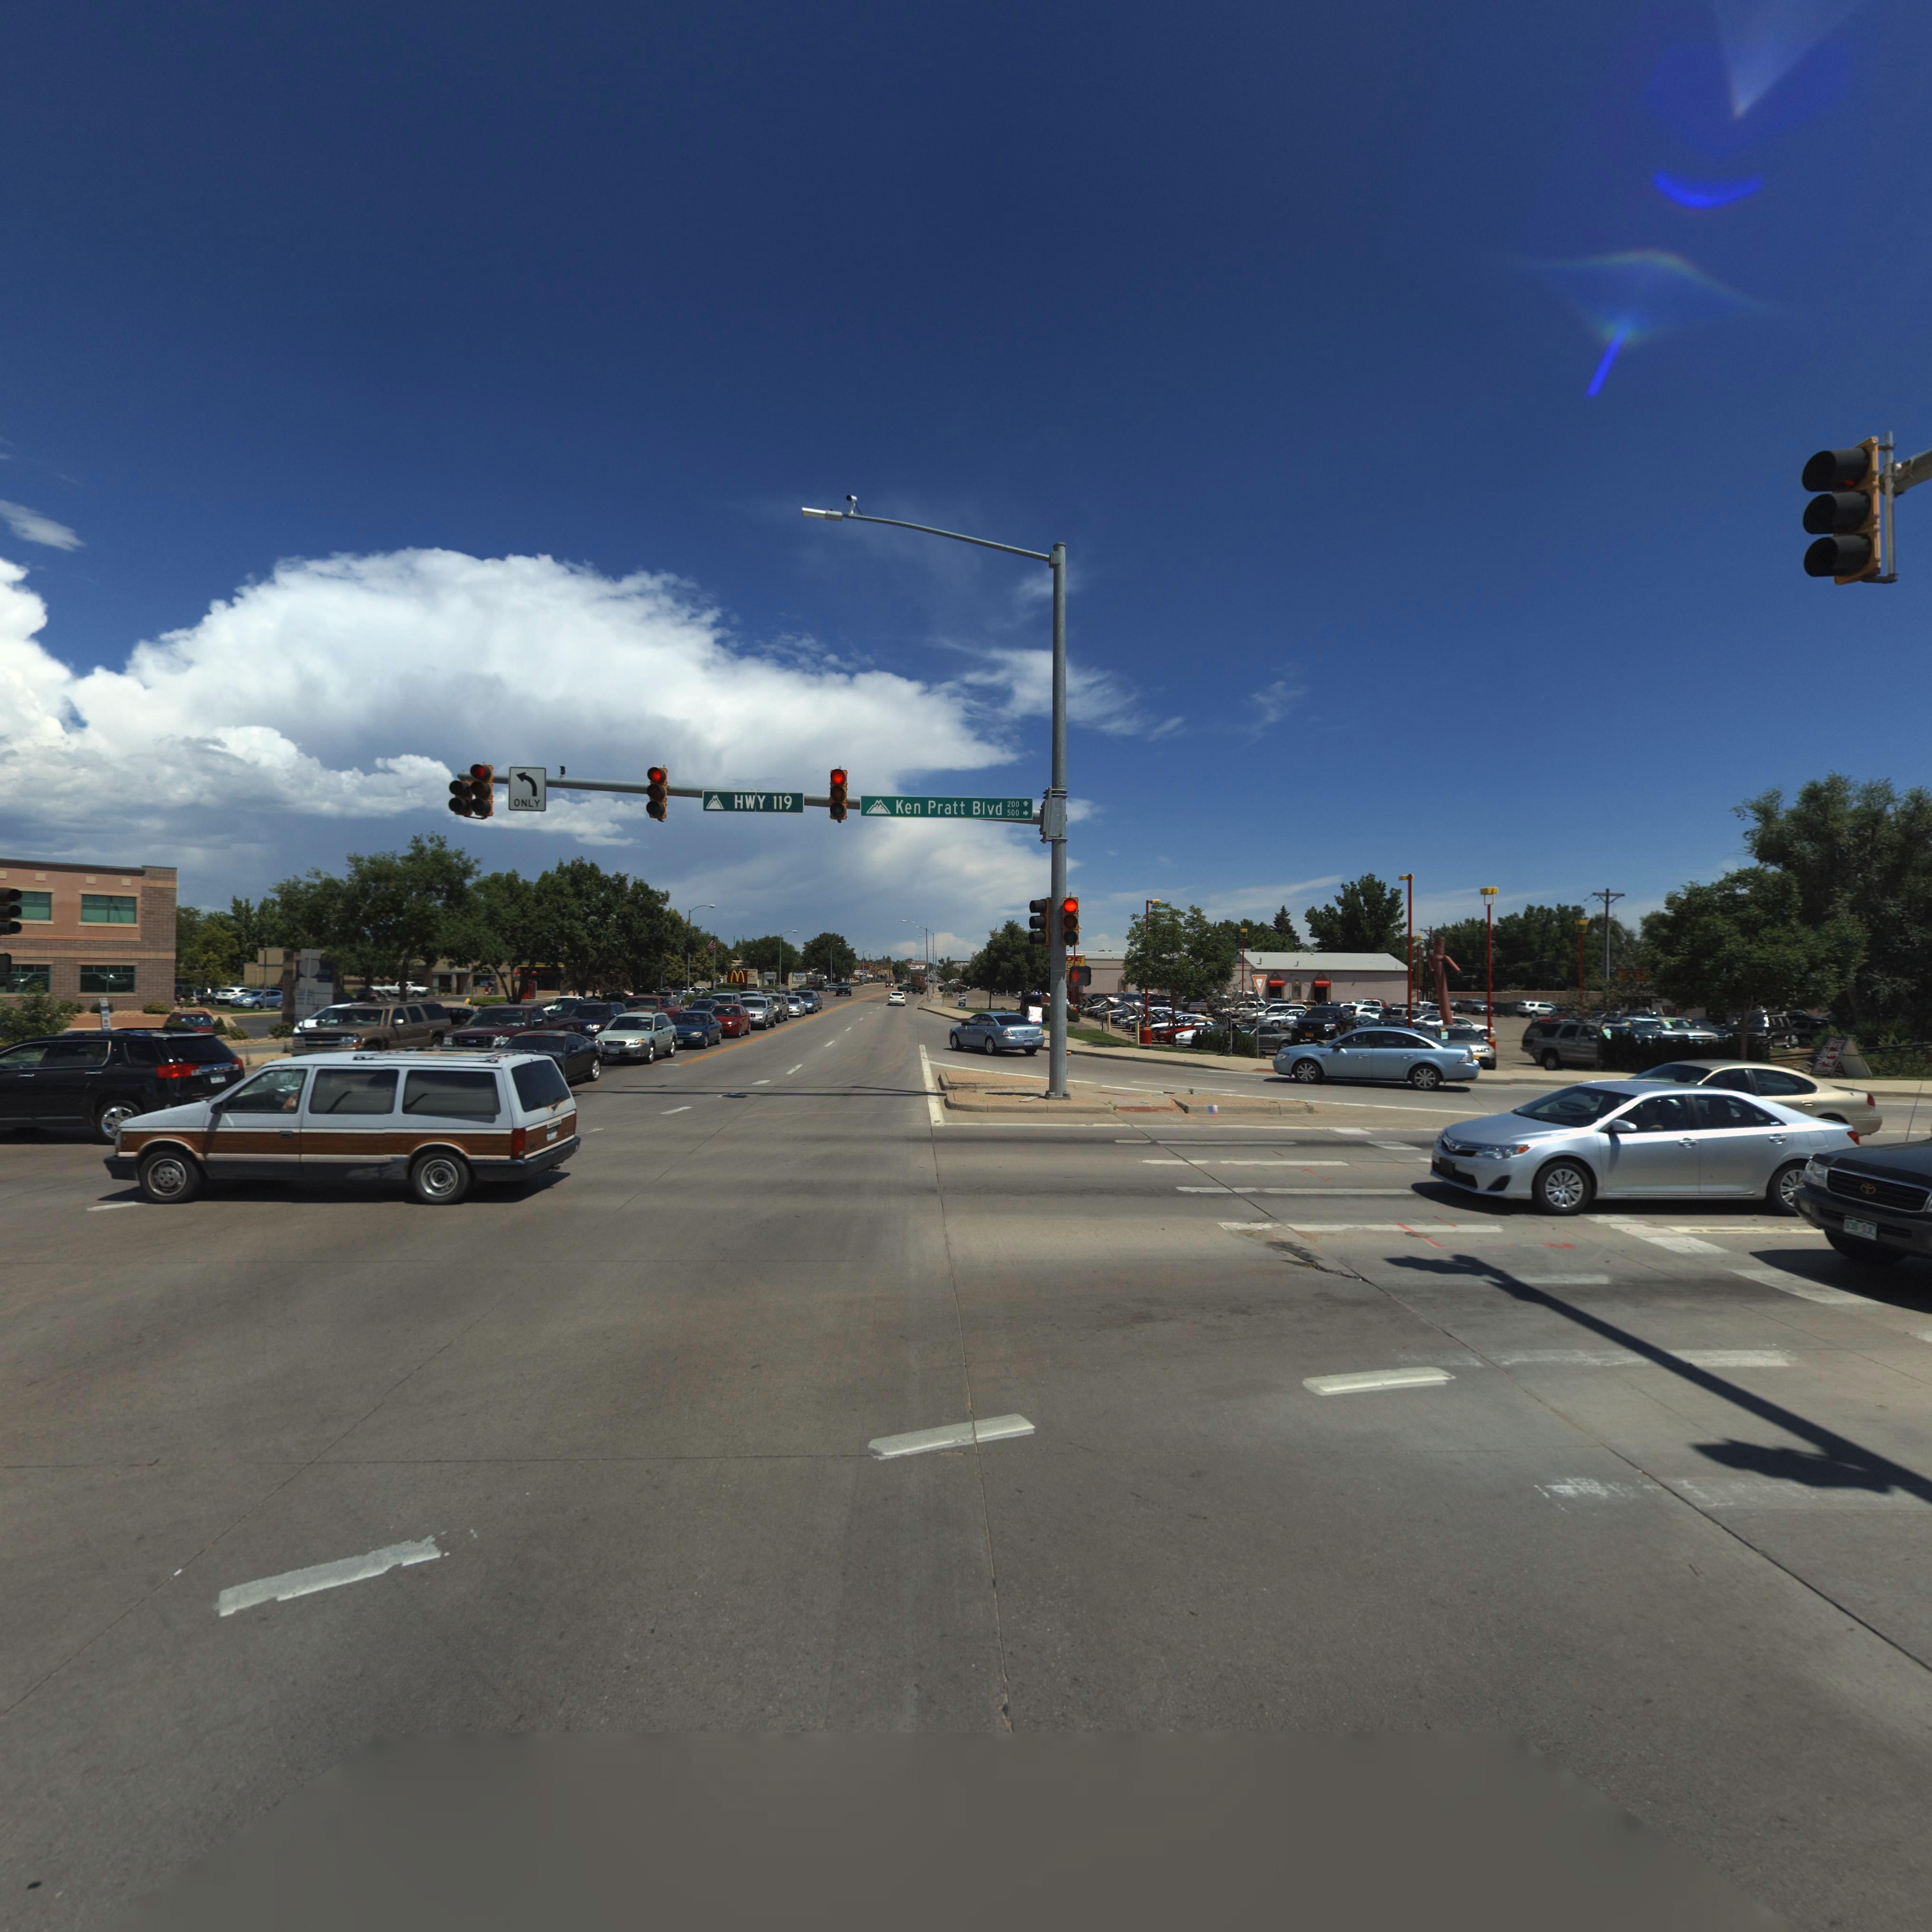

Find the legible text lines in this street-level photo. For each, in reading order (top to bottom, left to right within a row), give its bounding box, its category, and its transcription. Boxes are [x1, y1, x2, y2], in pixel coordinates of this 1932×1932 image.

[734, 794, 793, 809] StreetName: HWY 119
[896, 800, 1002, 815] StreetName: Ken Pratt Blvd
[1007, 800, 1019, 807] StreetNumberRange: 200
[1007, 809, 1029, 816] StreetNumberRange: 500->